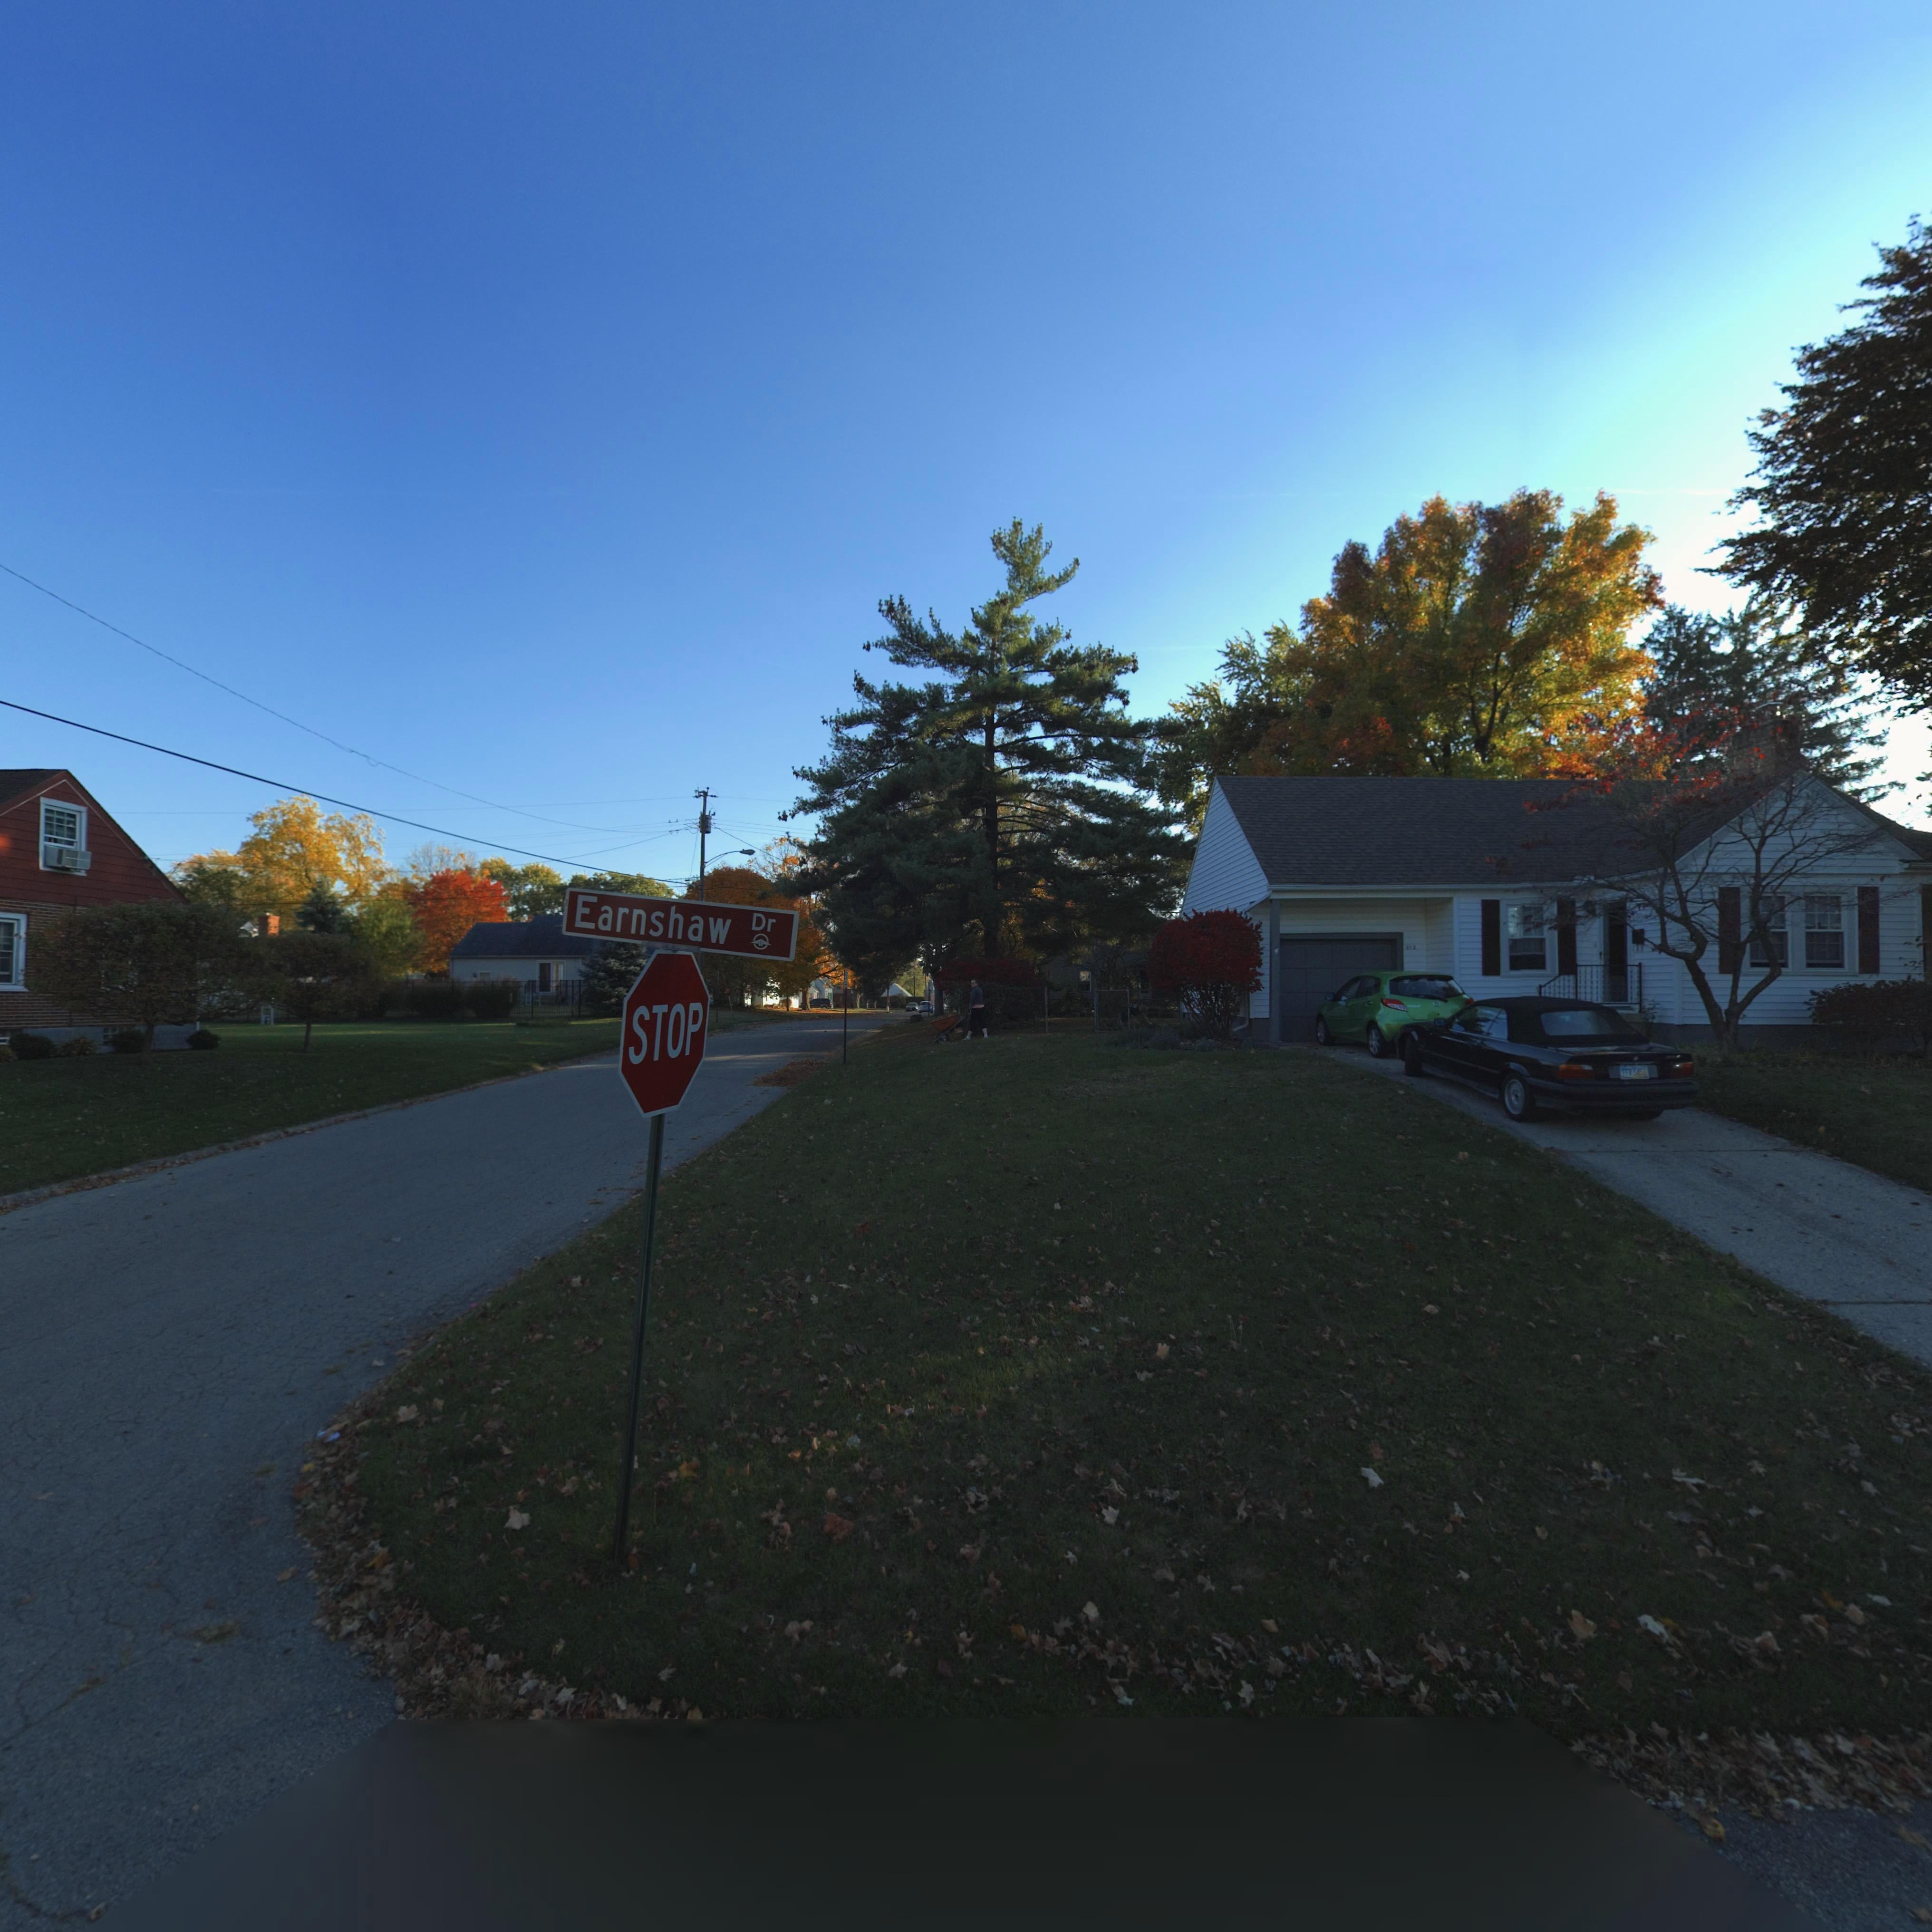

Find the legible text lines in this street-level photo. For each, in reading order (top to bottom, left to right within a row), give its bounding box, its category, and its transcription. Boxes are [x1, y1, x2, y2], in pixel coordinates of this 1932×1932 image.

[572, 893, 779, 947] StreetName: Earnshaw Dr
[1405, 945, 1416, 950] StreetNumber: 212